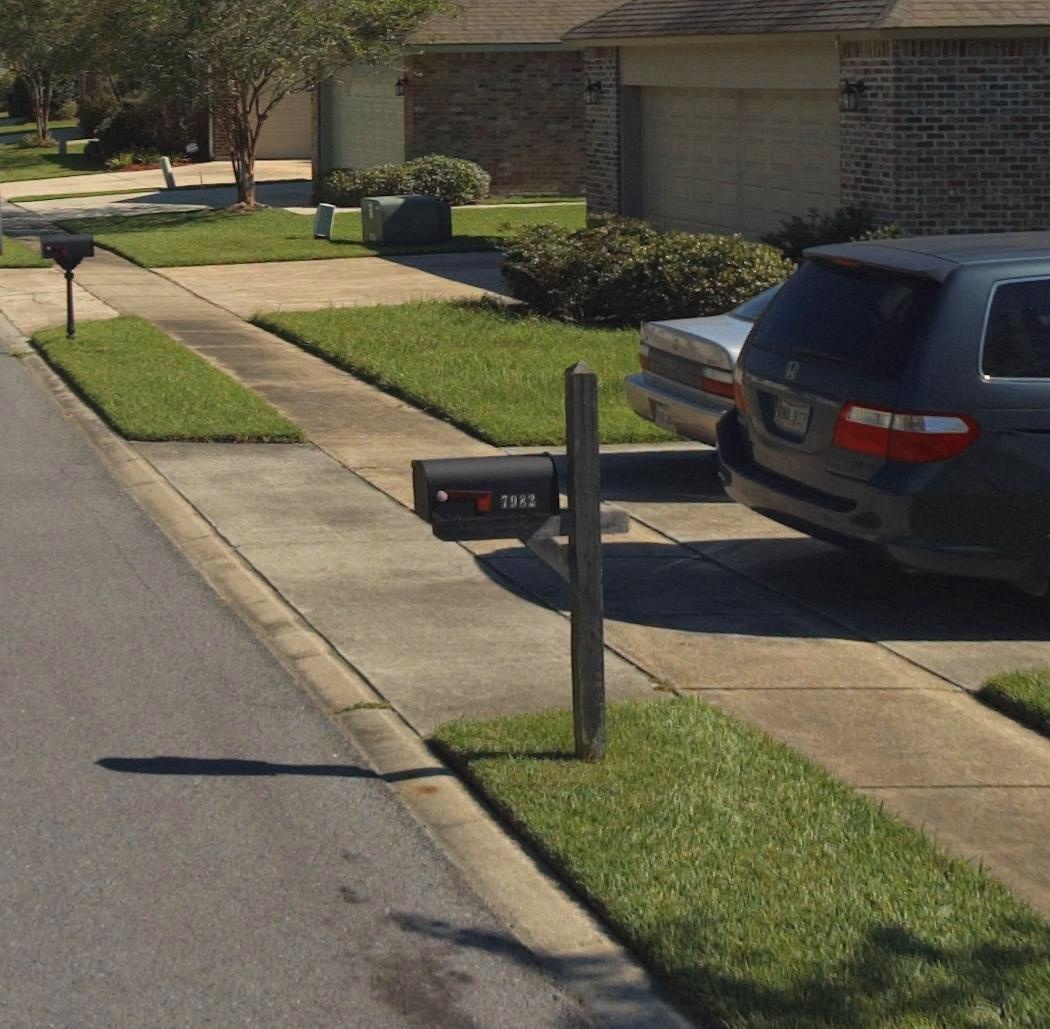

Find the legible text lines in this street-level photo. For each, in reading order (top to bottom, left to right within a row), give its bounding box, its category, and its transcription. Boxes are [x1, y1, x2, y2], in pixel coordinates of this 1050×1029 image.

[498, 491, 538, 511] StreetNumber: 7982